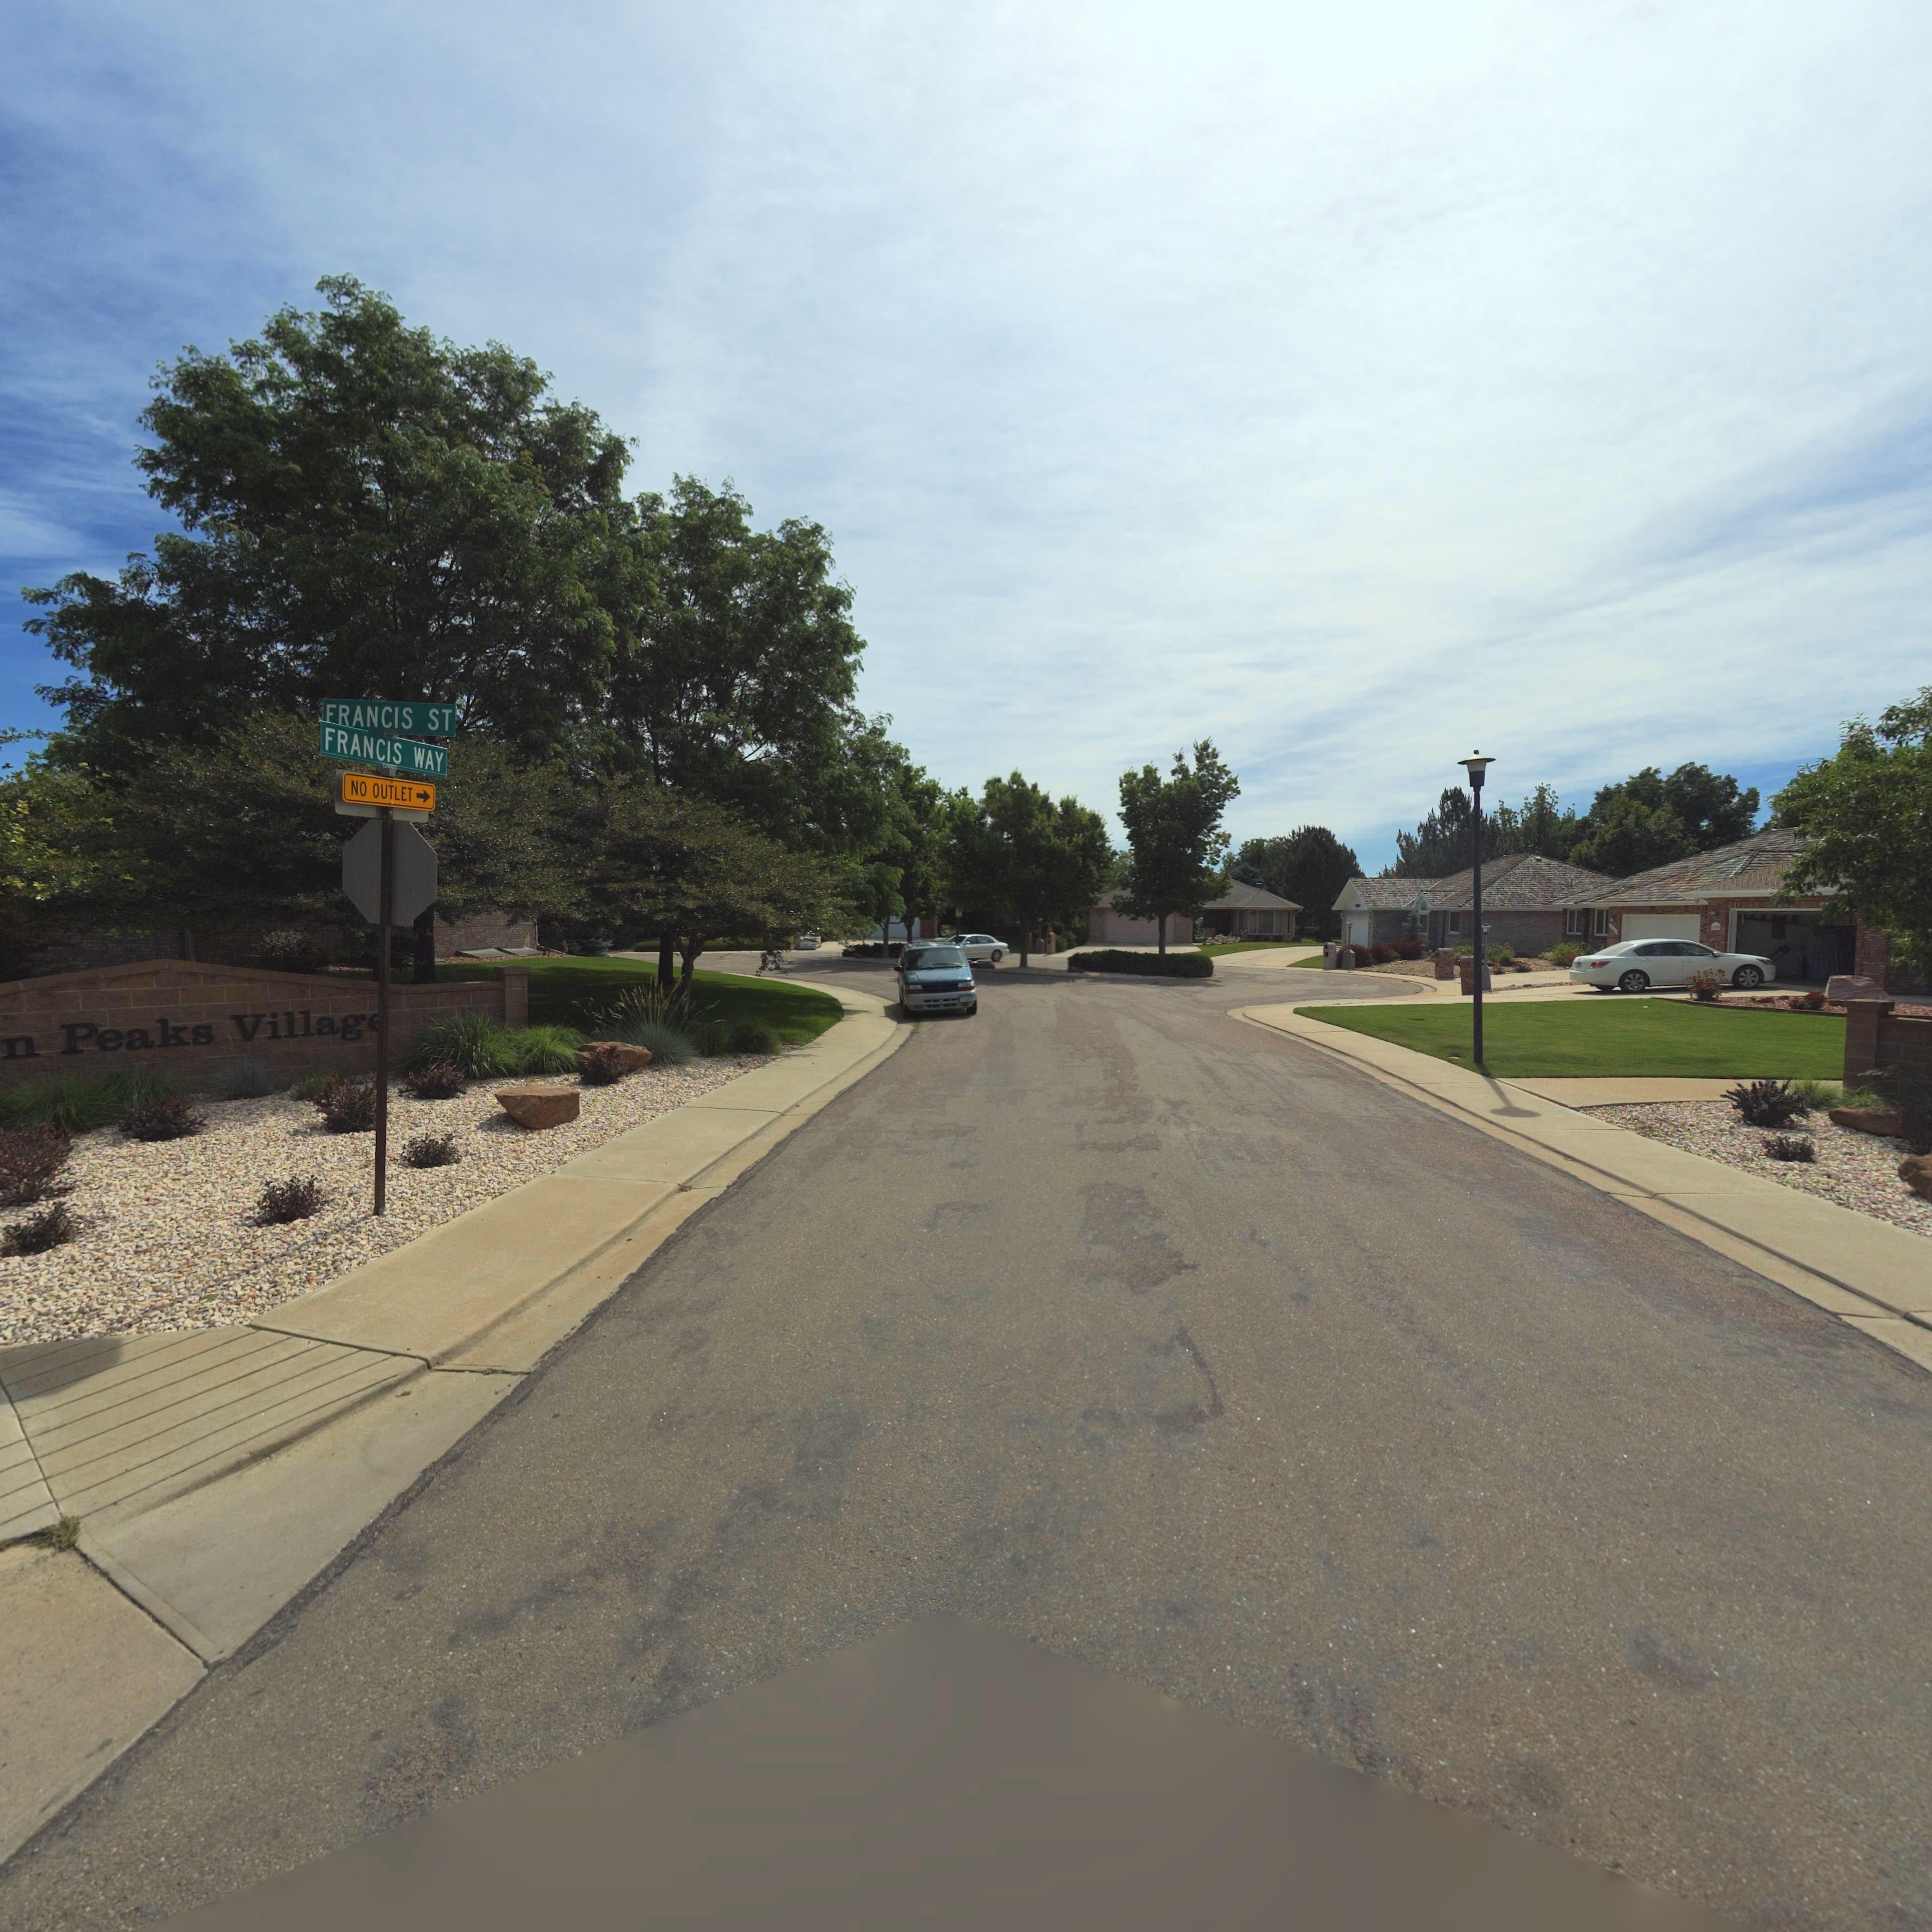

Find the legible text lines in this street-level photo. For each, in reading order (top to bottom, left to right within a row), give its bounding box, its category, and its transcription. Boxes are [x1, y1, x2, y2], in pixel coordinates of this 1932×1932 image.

[326, 703, 453, 731] StreetName: FRANCIS ST
[325, 726, 444, 772] StreetName: FRANCIS WAY